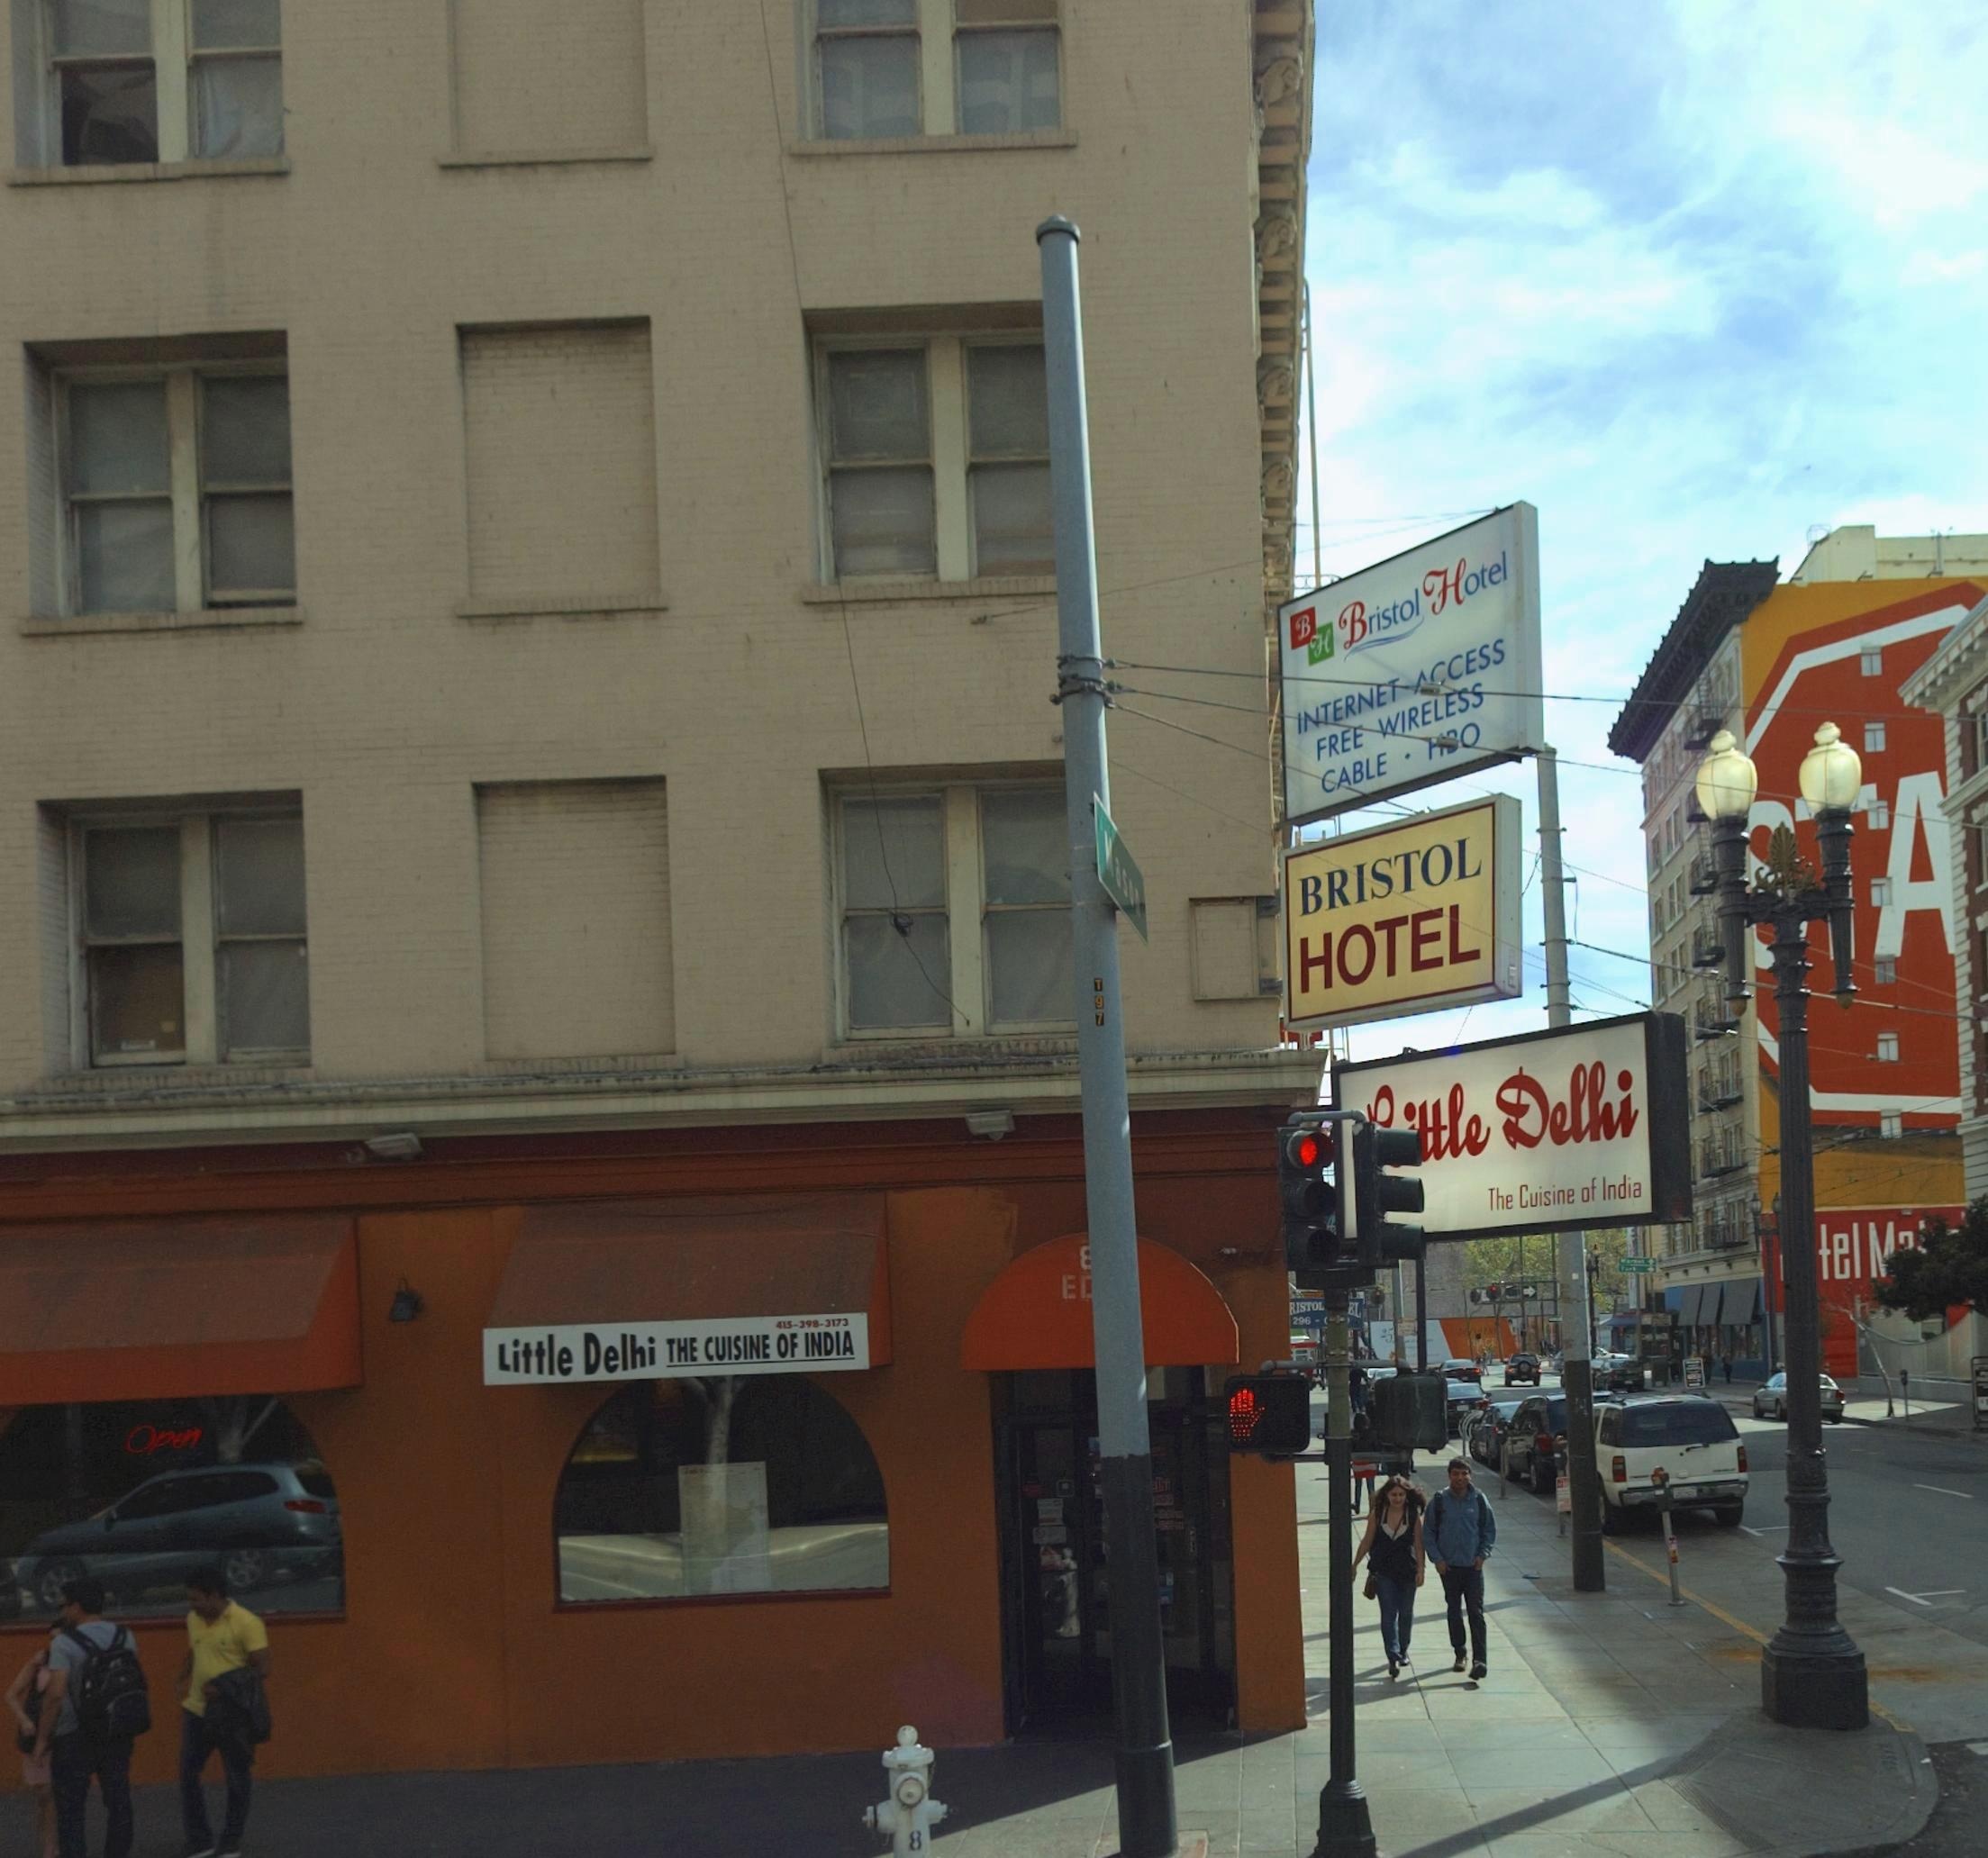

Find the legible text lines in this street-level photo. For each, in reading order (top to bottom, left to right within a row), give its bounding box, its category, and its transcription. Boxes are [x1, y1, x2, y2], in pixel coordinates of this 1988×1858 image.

[1335, 534, 1511, 657] BusinessName: Bristol Hotel
[1293, 610, 1314, 647] None: B
[1307, 622, 1334, 664] None: H
[1294, 631, 1511, 740] None: INTERNET *CCESS
[1313, 676, 1490, 766] None: FREE WIRELESS
[1317, 719, 1484, 798] None: CABLE * **O
[1102, 823, 1142, 925] StreetName: Mason
[1294, 831, 1486, 923] BusinessName: BRISTOL
[1296, 896, 1487, 1001] BusinessName: HOTEL
[1093, 977, 1106, 1028] None: T97
[1413, 1056, 1645, 1170] BusinessName: ttle Delhi
[1484, 1171, 1646, 1217] None: The Cuisine of India
[1816, 1218, 1866, 1283] None: tel
[495, 1328, 659, 1381] BusinessName: Little Delhi
[662, 1326, 861, 1367] None: THE CUISINE OF INDIA
[771, 1314, 853, 1332] None: 415-398-3173
[1058, 1271, 1081, 1302] None: E
[1291, 1313, 1314, 1327] None: 296
[1286, 1299, 1329, 1319] None: RISTOL
[1345, 1299, 1364, 1321] None: EL
[119, 1419, 209, 1459] None: Open